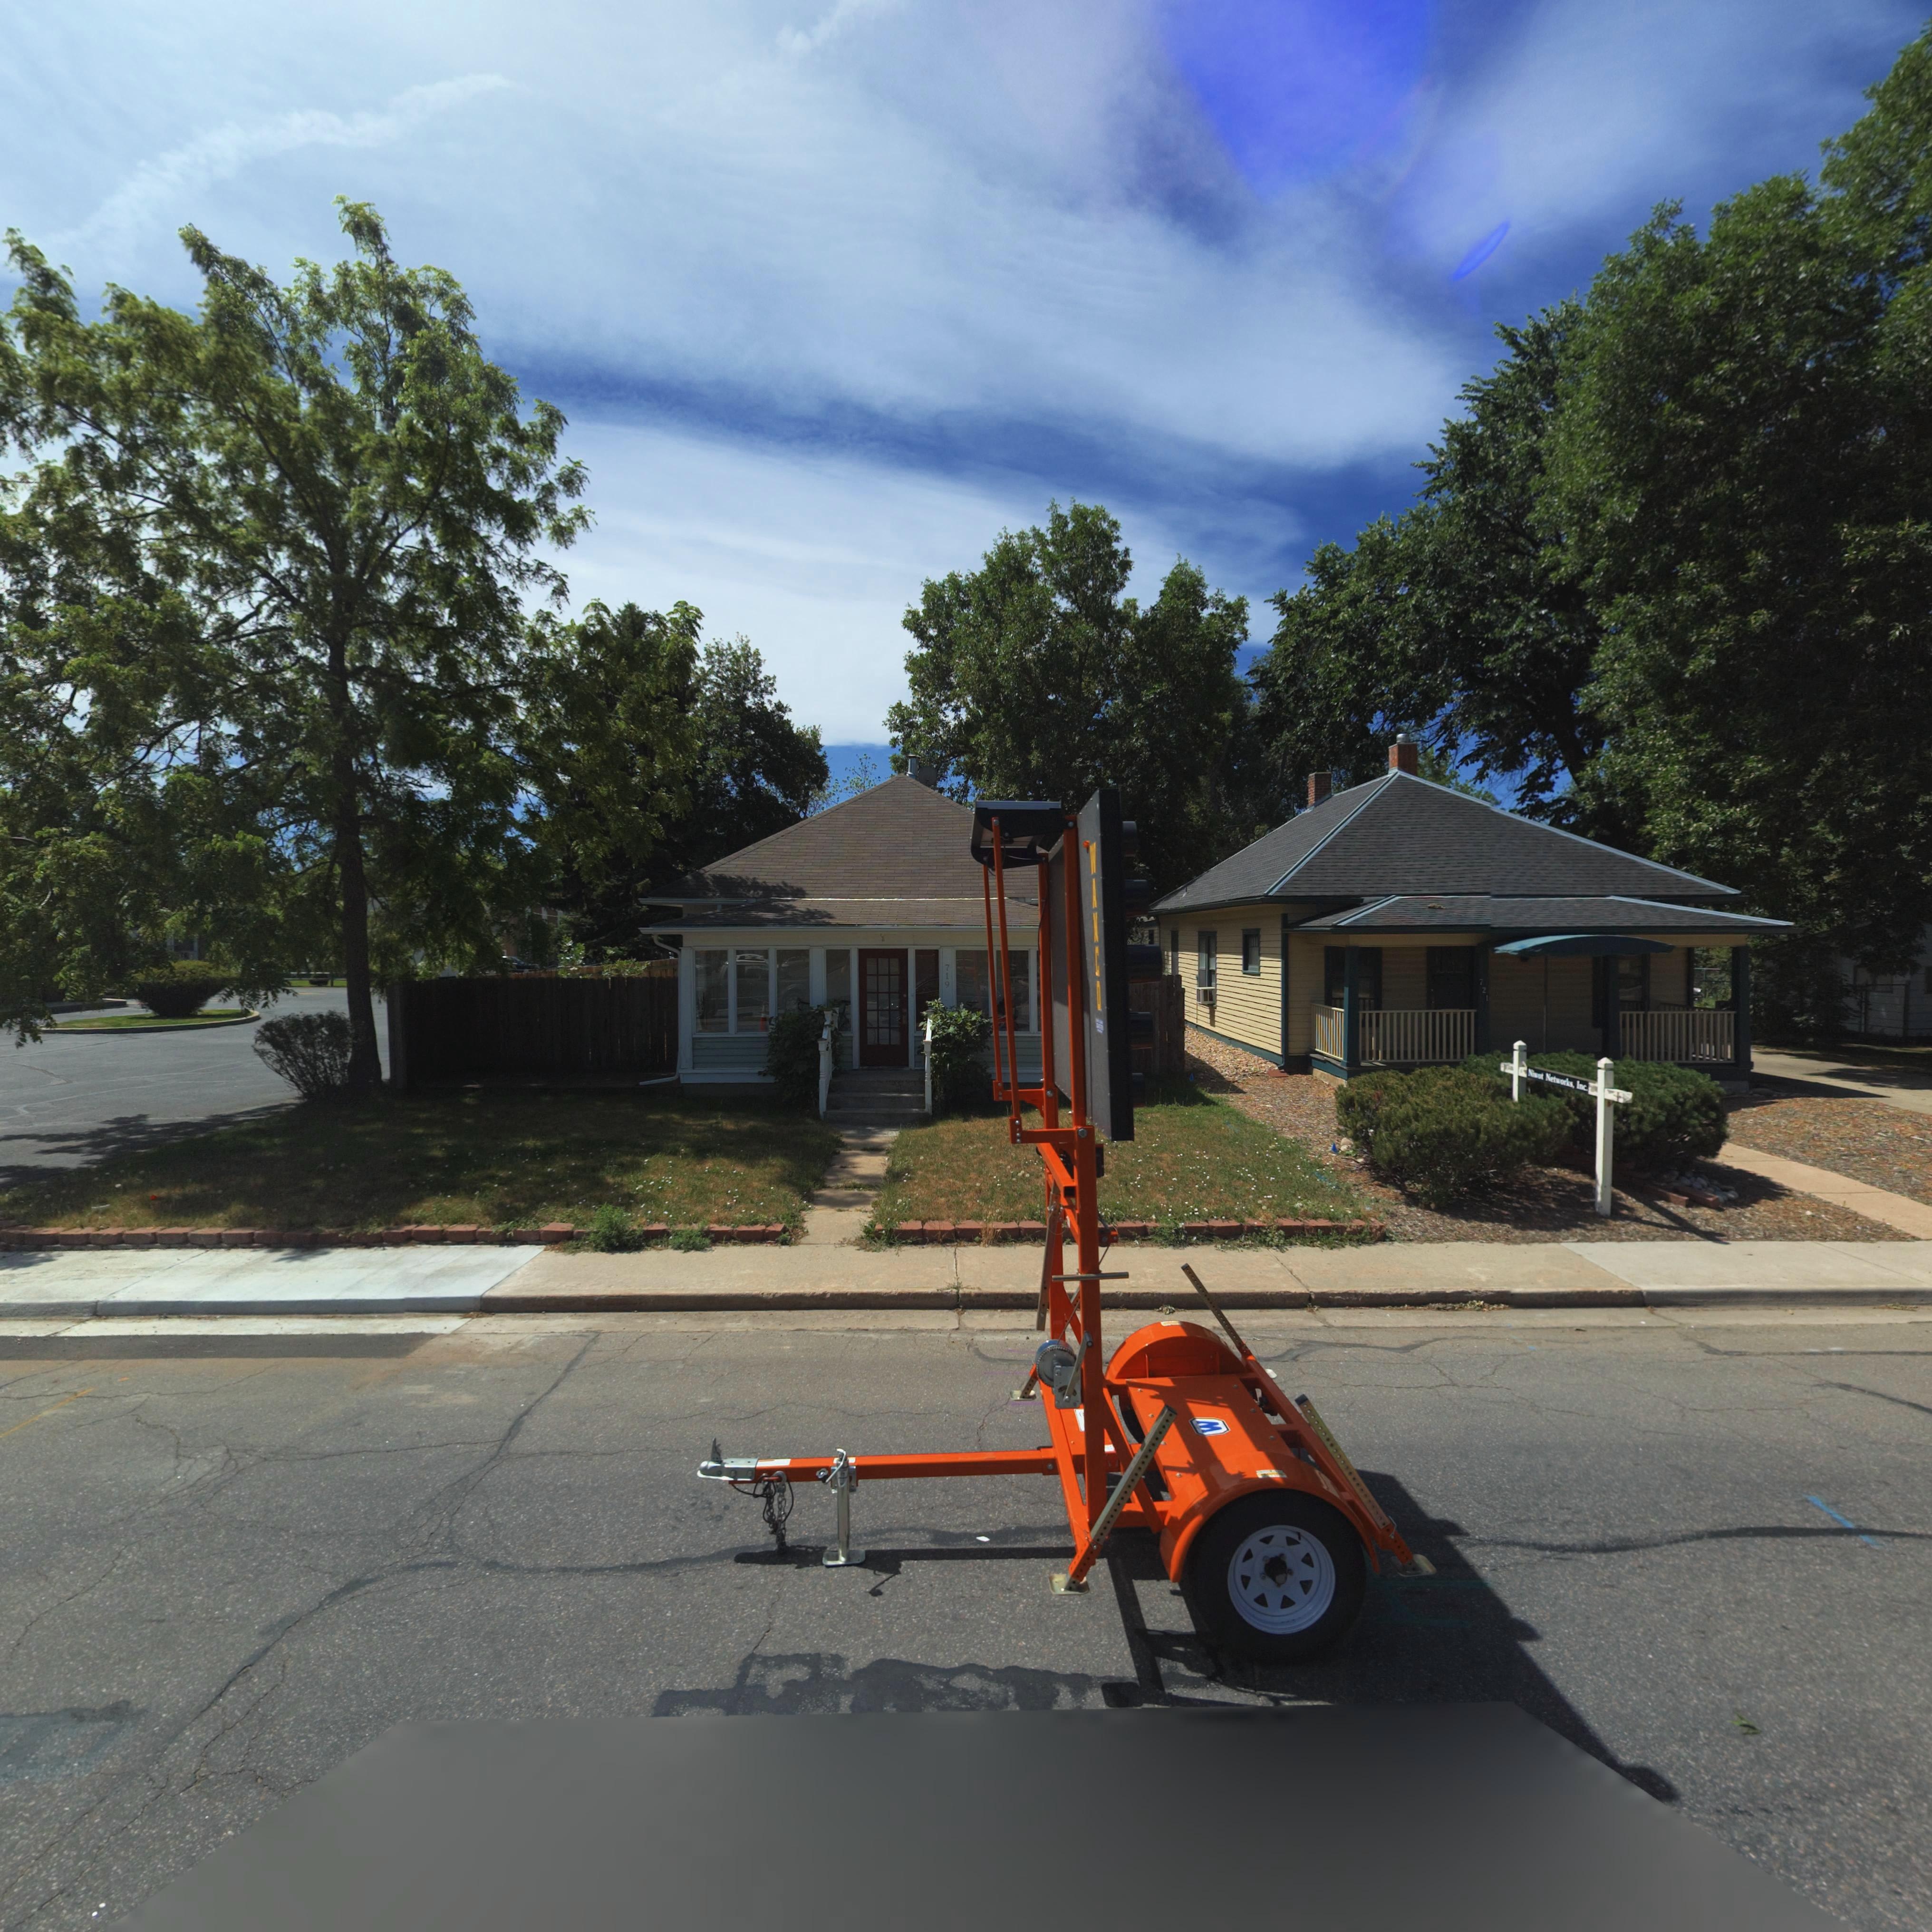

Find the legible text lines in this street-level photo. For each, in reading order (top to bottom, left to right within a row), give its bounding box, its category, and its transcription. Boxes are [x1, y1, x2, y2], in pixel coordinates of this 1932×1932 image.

[945, 964, 949, 989] StreetNumber: 719
[1478, 978, 1488, 1002] StreetNumber: 721
[1527, 1067, 1587, 1092] BusinessName: N**ot Net*orks, Inc